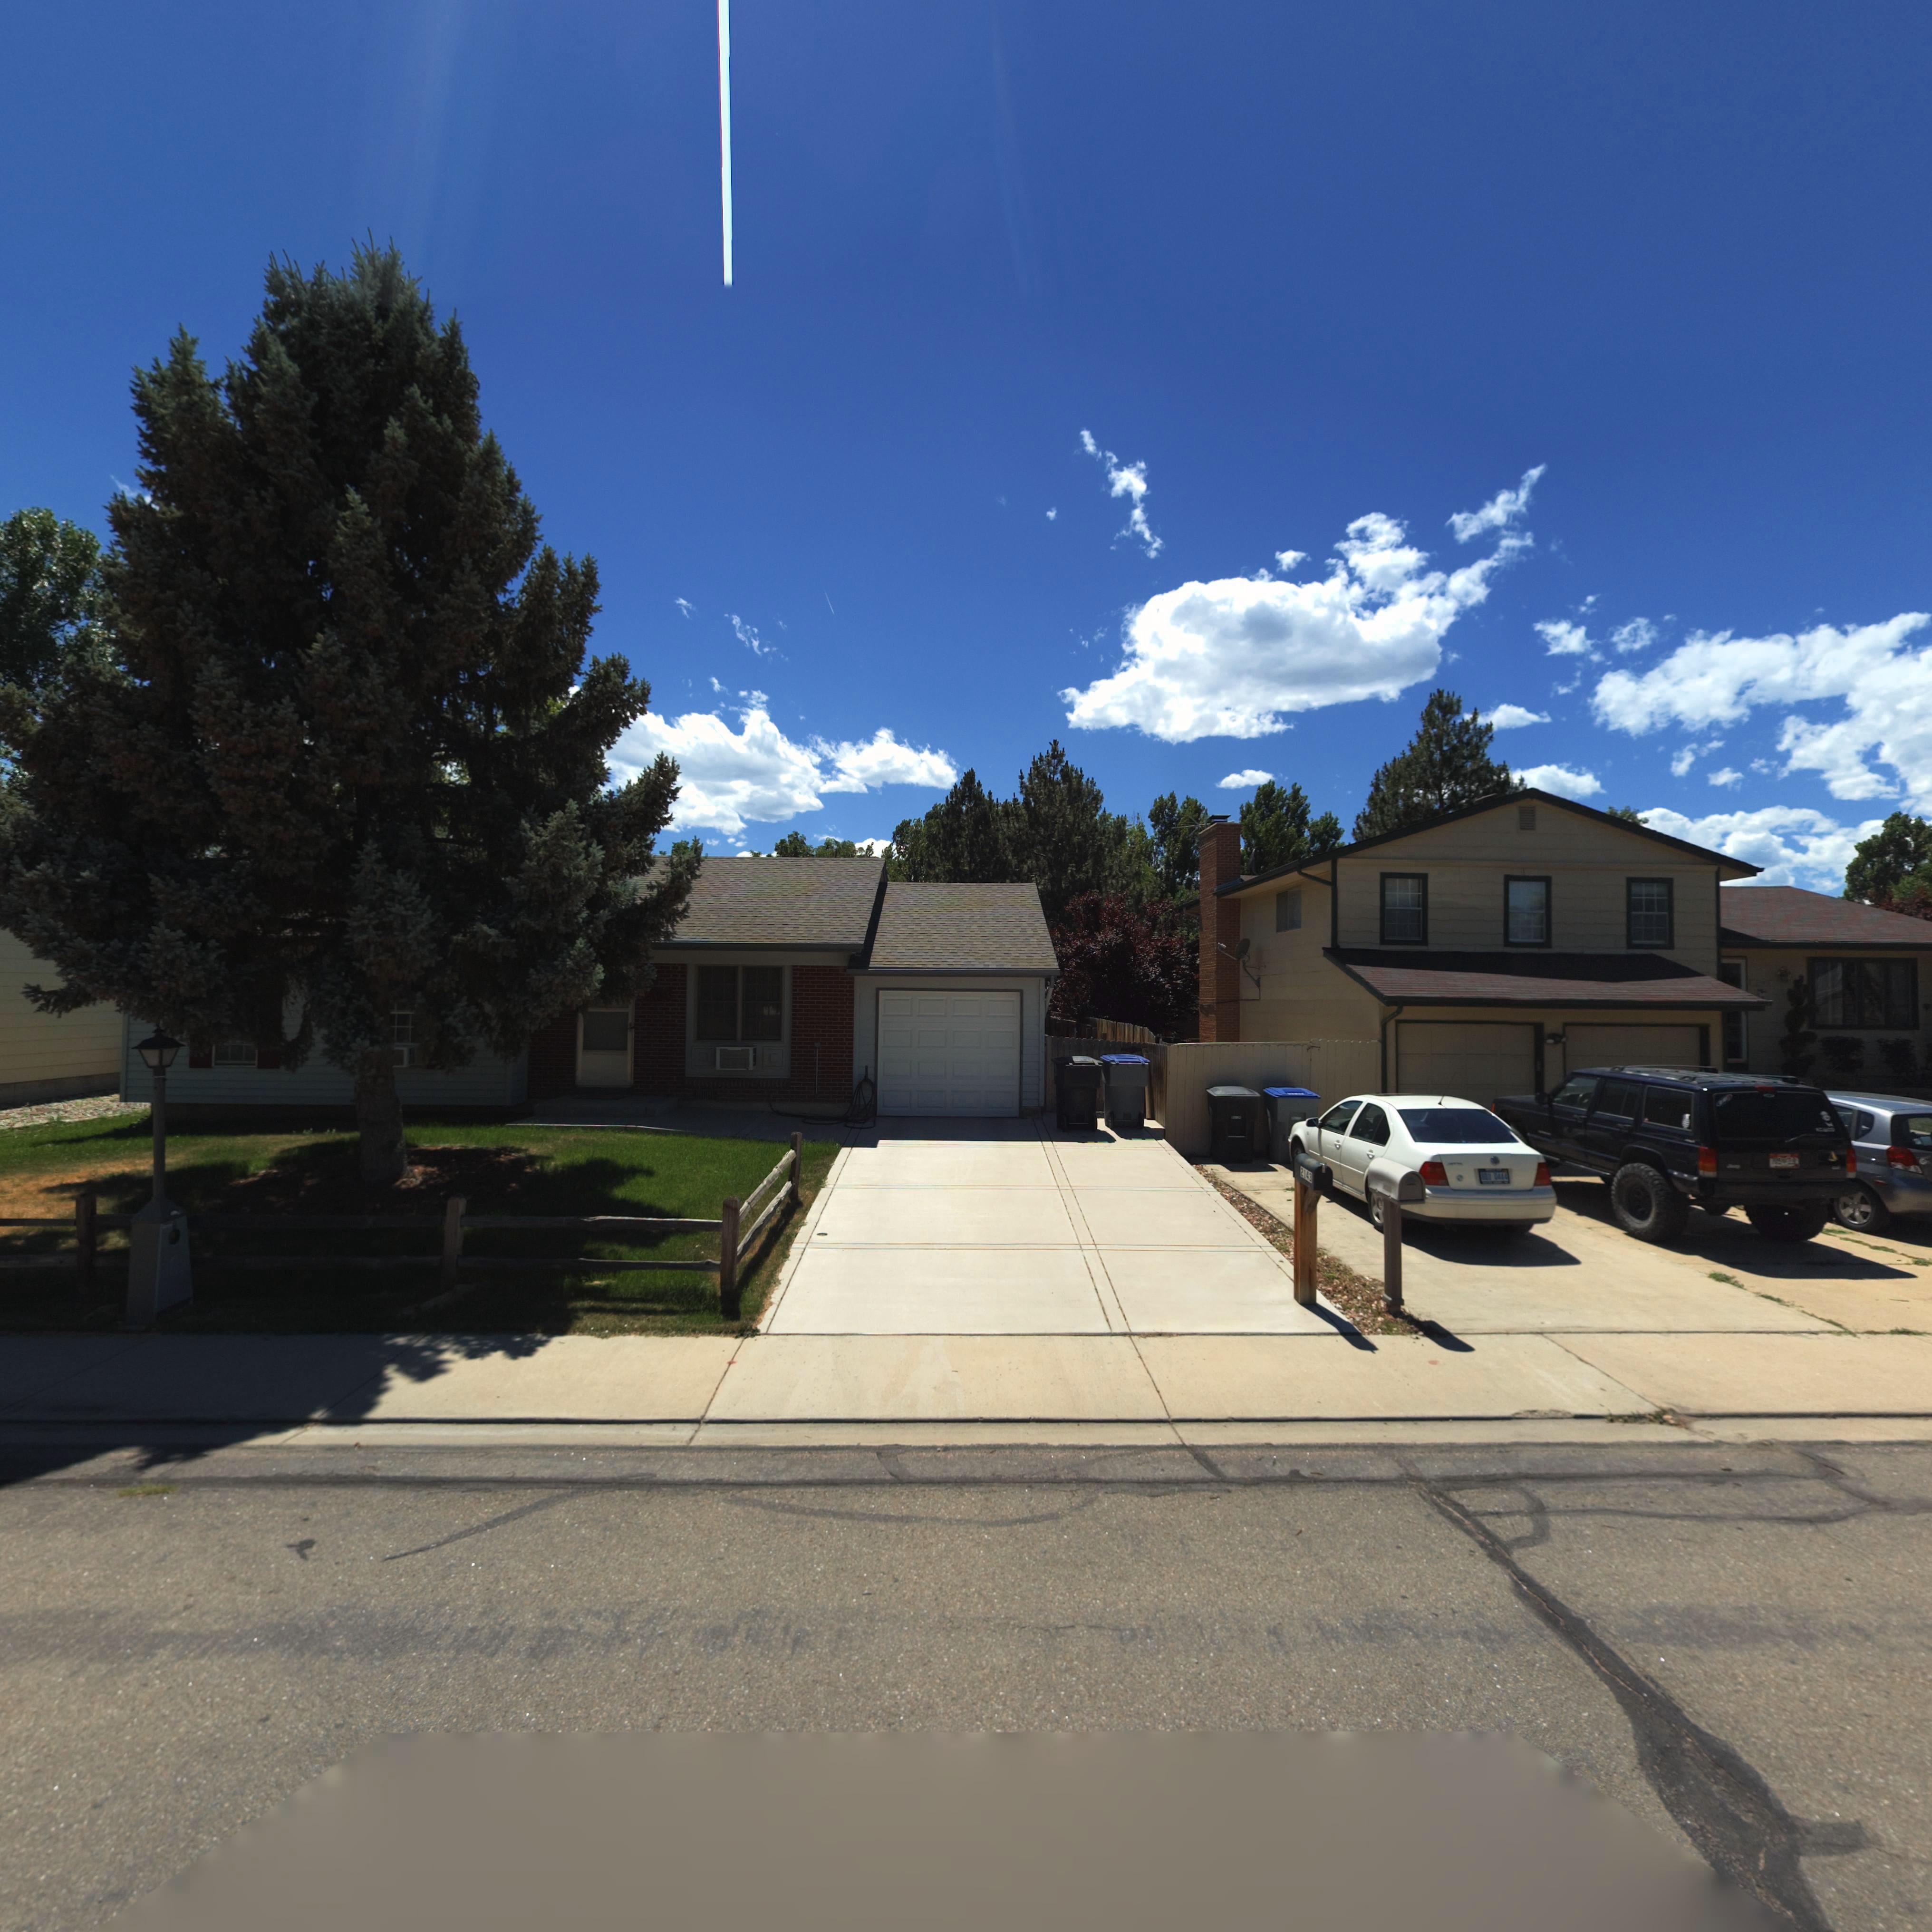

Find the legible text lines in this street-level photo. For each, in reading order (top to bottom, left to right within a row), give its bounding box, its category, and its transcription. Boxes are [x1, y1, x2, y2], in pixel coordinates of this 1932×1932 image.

[1299, 1166, 1313, 1184] StreetNumber: 2143